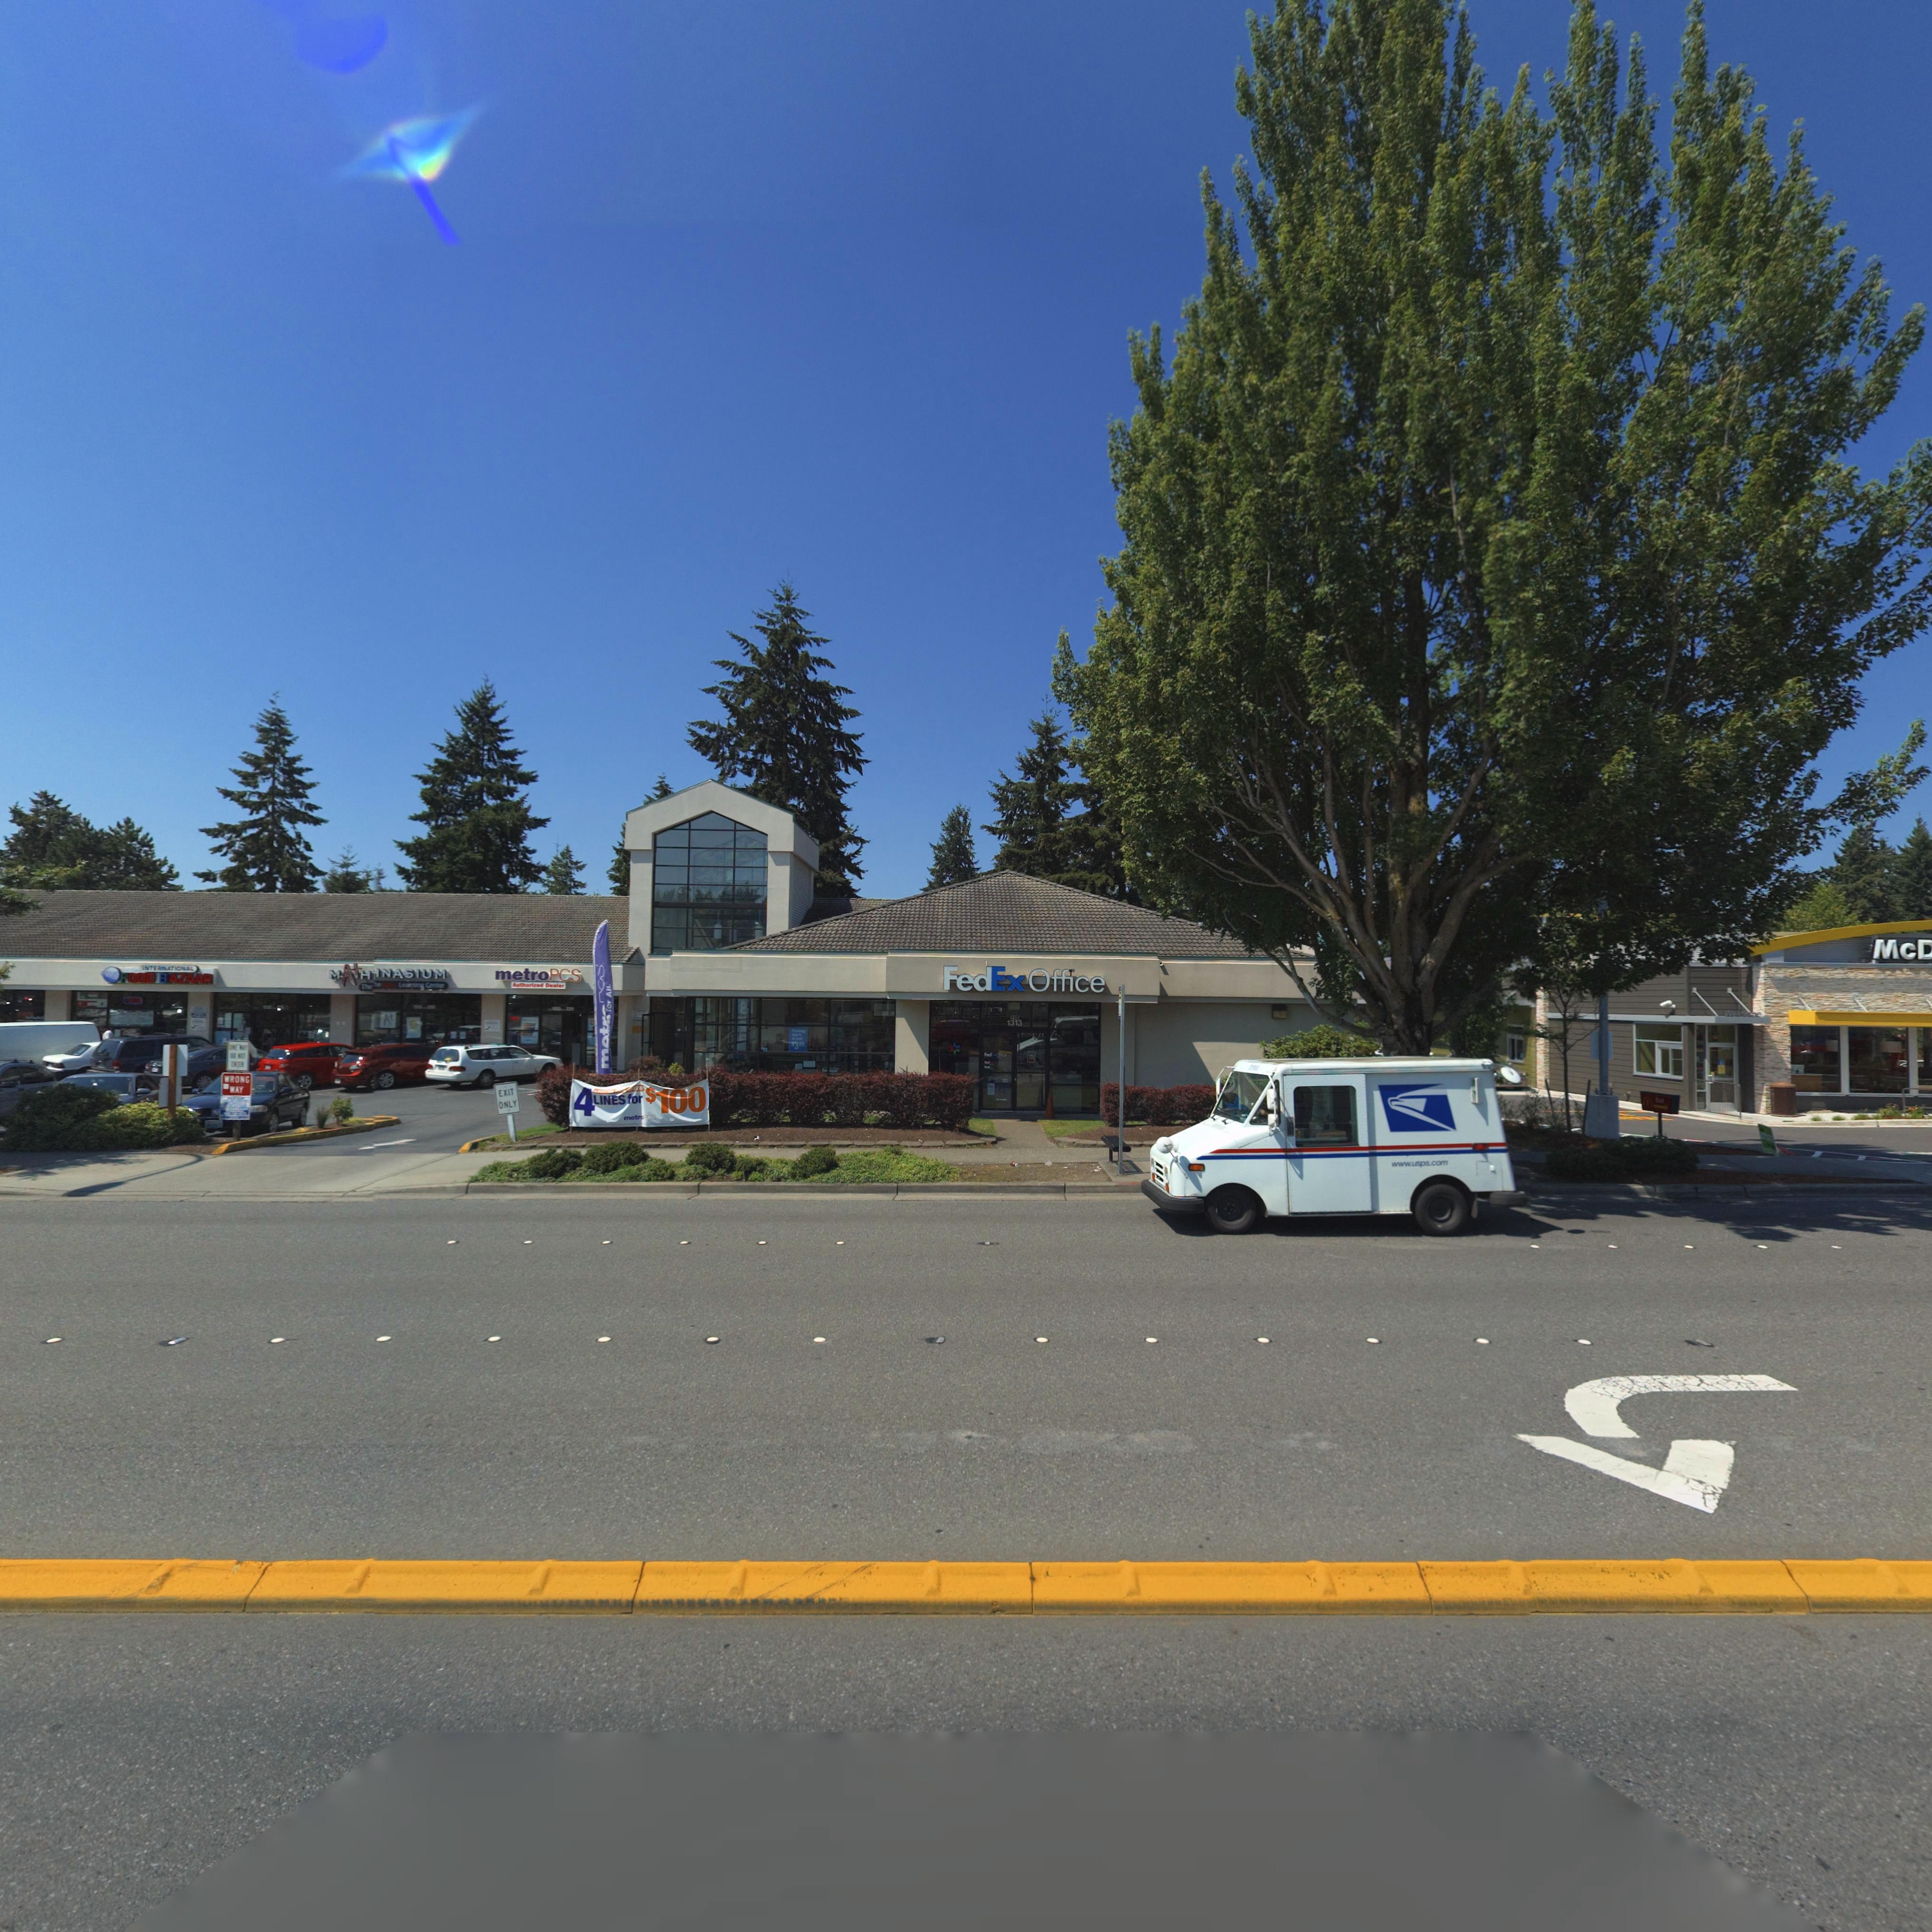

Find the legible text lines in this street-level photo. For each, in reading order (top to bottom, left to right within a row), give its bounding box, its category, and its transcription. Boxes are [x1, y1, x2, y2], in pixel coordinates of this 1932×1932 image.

[118, 969, 214, 985] BusinessName: FOOD BAZAAR
[140, 964, 195, 972] BusinessName: INTERNATIONAL
[326, 959, 453, 990] BusinessName: MATH*NASIUM
[494, 966, 583, 984] BusinessName: metroPCS
[512, 981, 567, 989] BusinessName: Authorized Dealer
[930, 955, 1111, 996] BusinessName: FedEx Office
[1006, 1017, 1023, 1027] StreetNumber: 1313
[982, 1050, 1008, 1057] BusinessName: FedEx Office